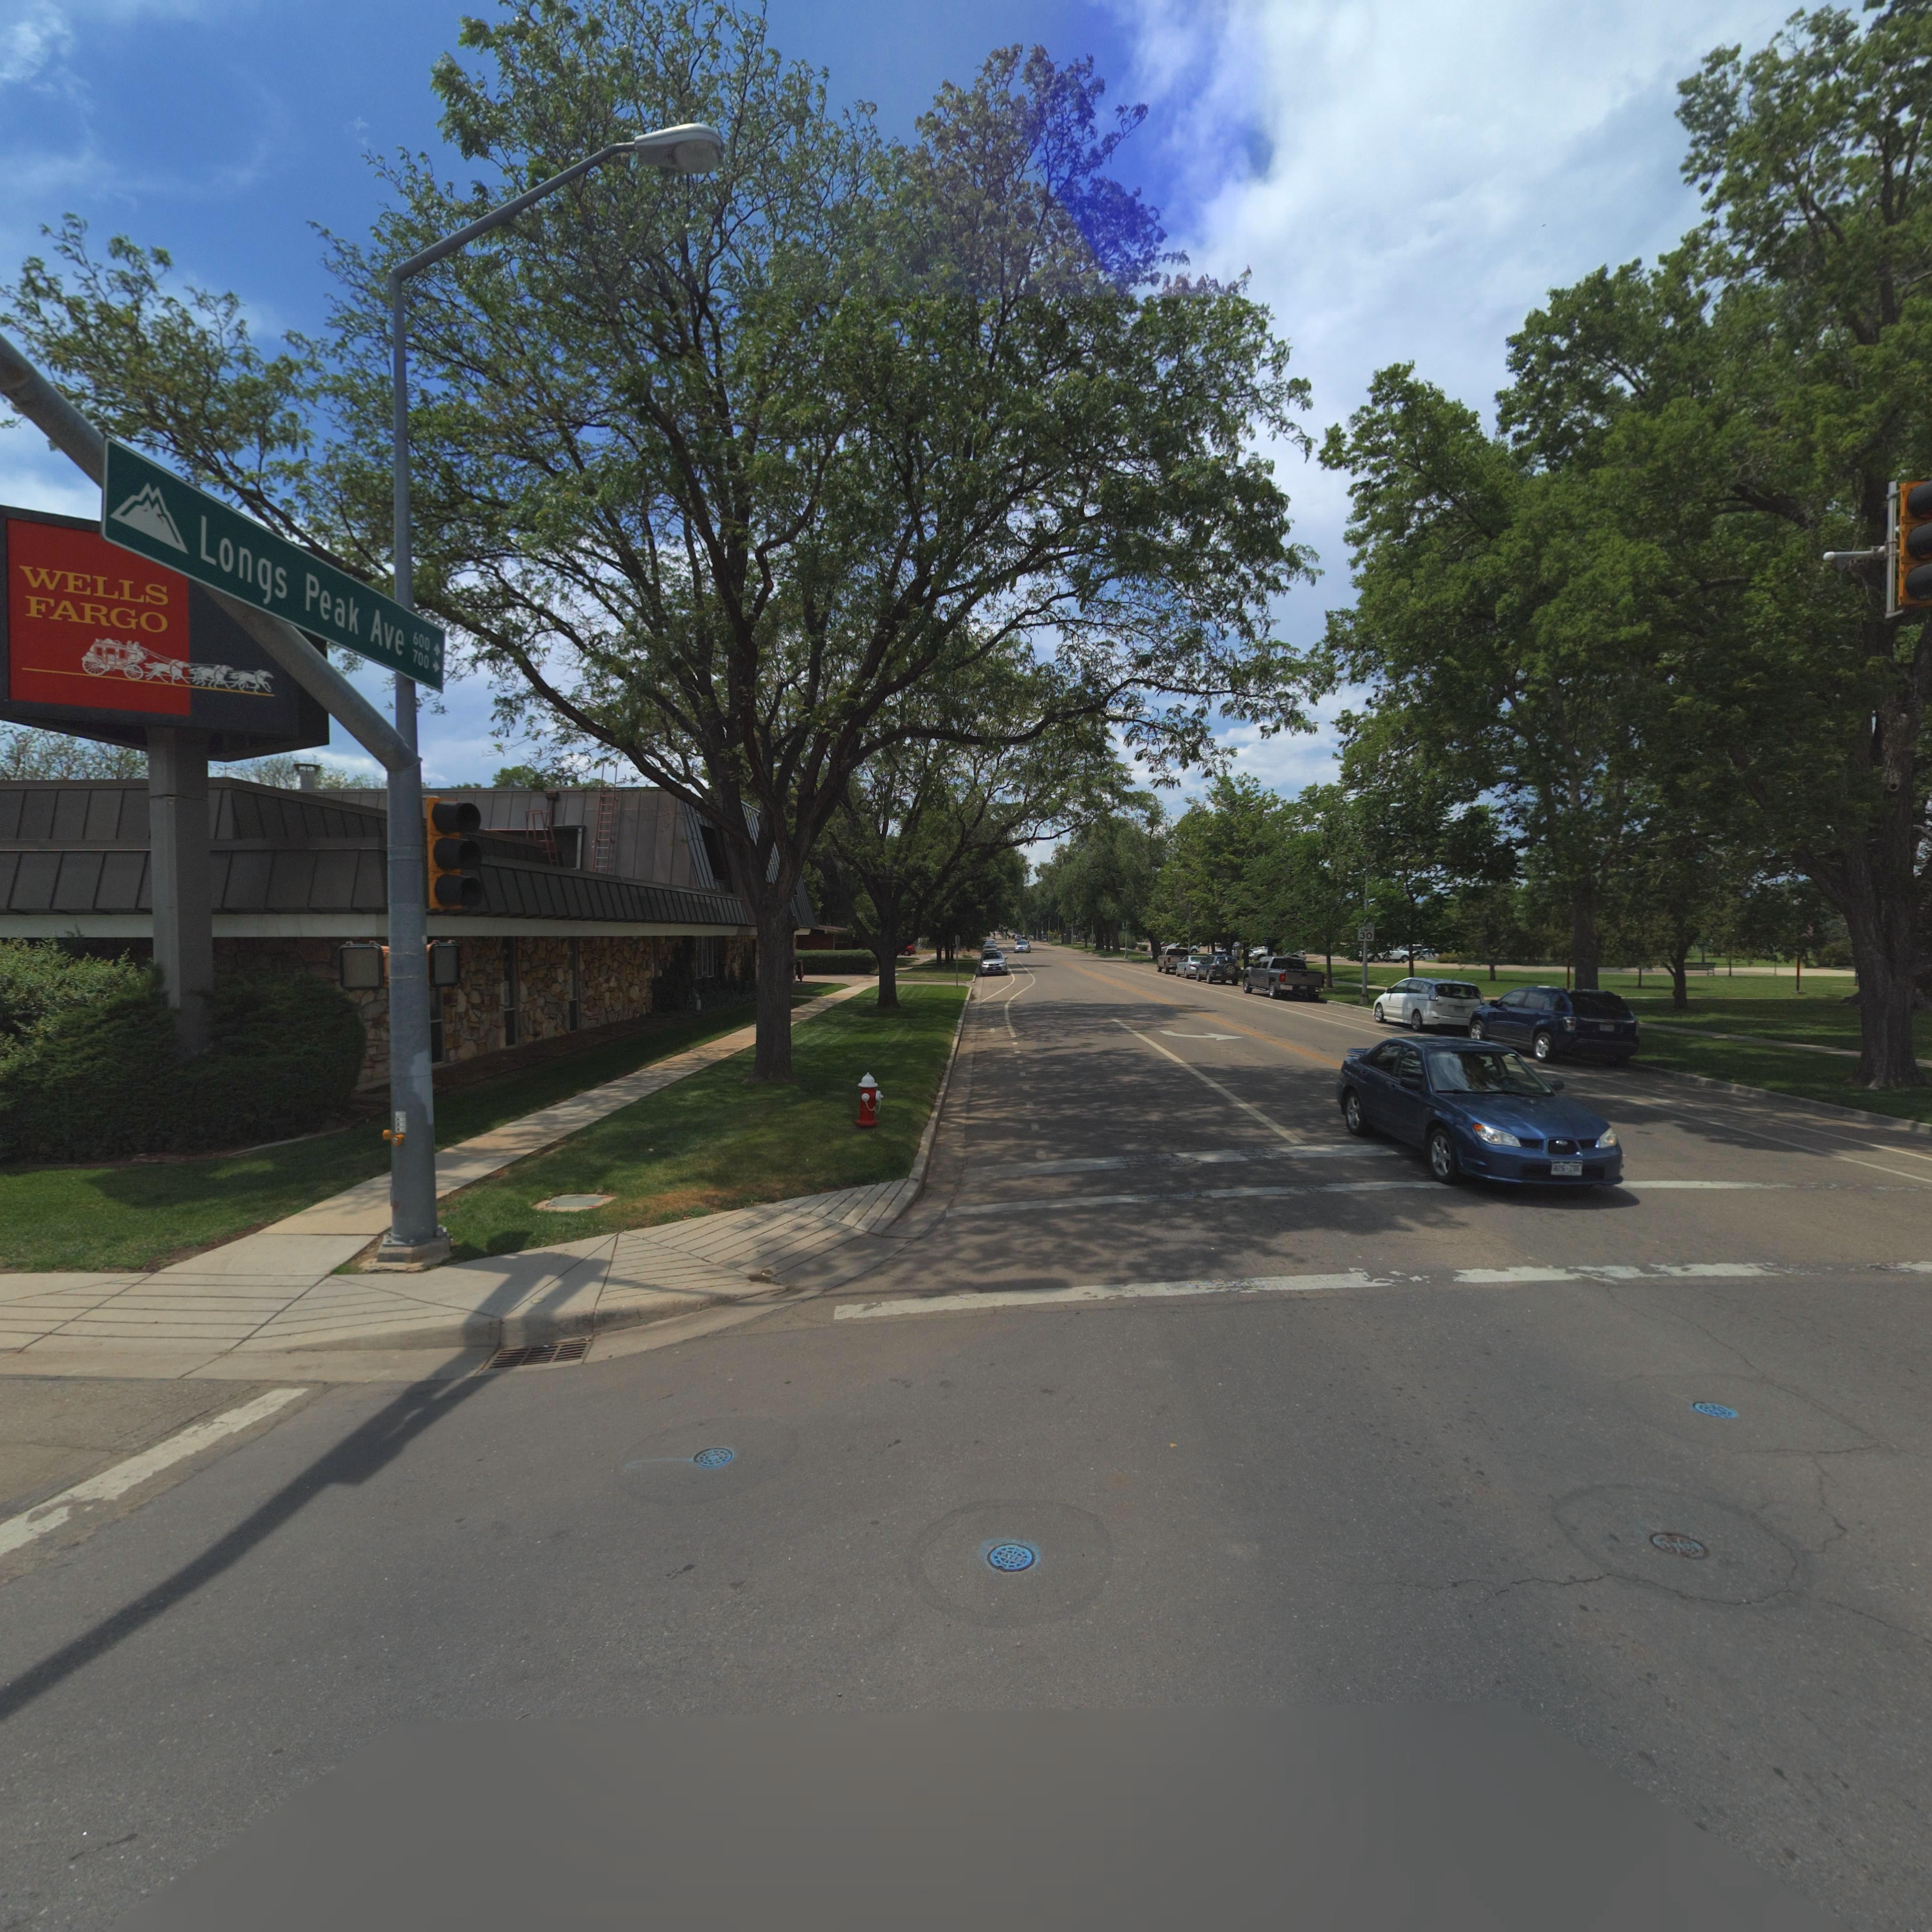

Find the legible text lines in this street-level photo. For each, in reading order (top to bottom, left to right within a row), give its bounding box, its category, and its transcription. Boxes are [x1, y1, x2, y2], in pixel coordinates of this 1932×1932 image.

[17, 562, 170, 607] BusinessName: WELLS
[196, 512, 409, 659] StreetName: Longs Peak Ave
[21, 594, 170, 634] BusinessName: FARGO
[412, 630, 430, 652] StreetNumberRange: 600
[412, 648, 441, 673] StreetNumberRange: 700 ->